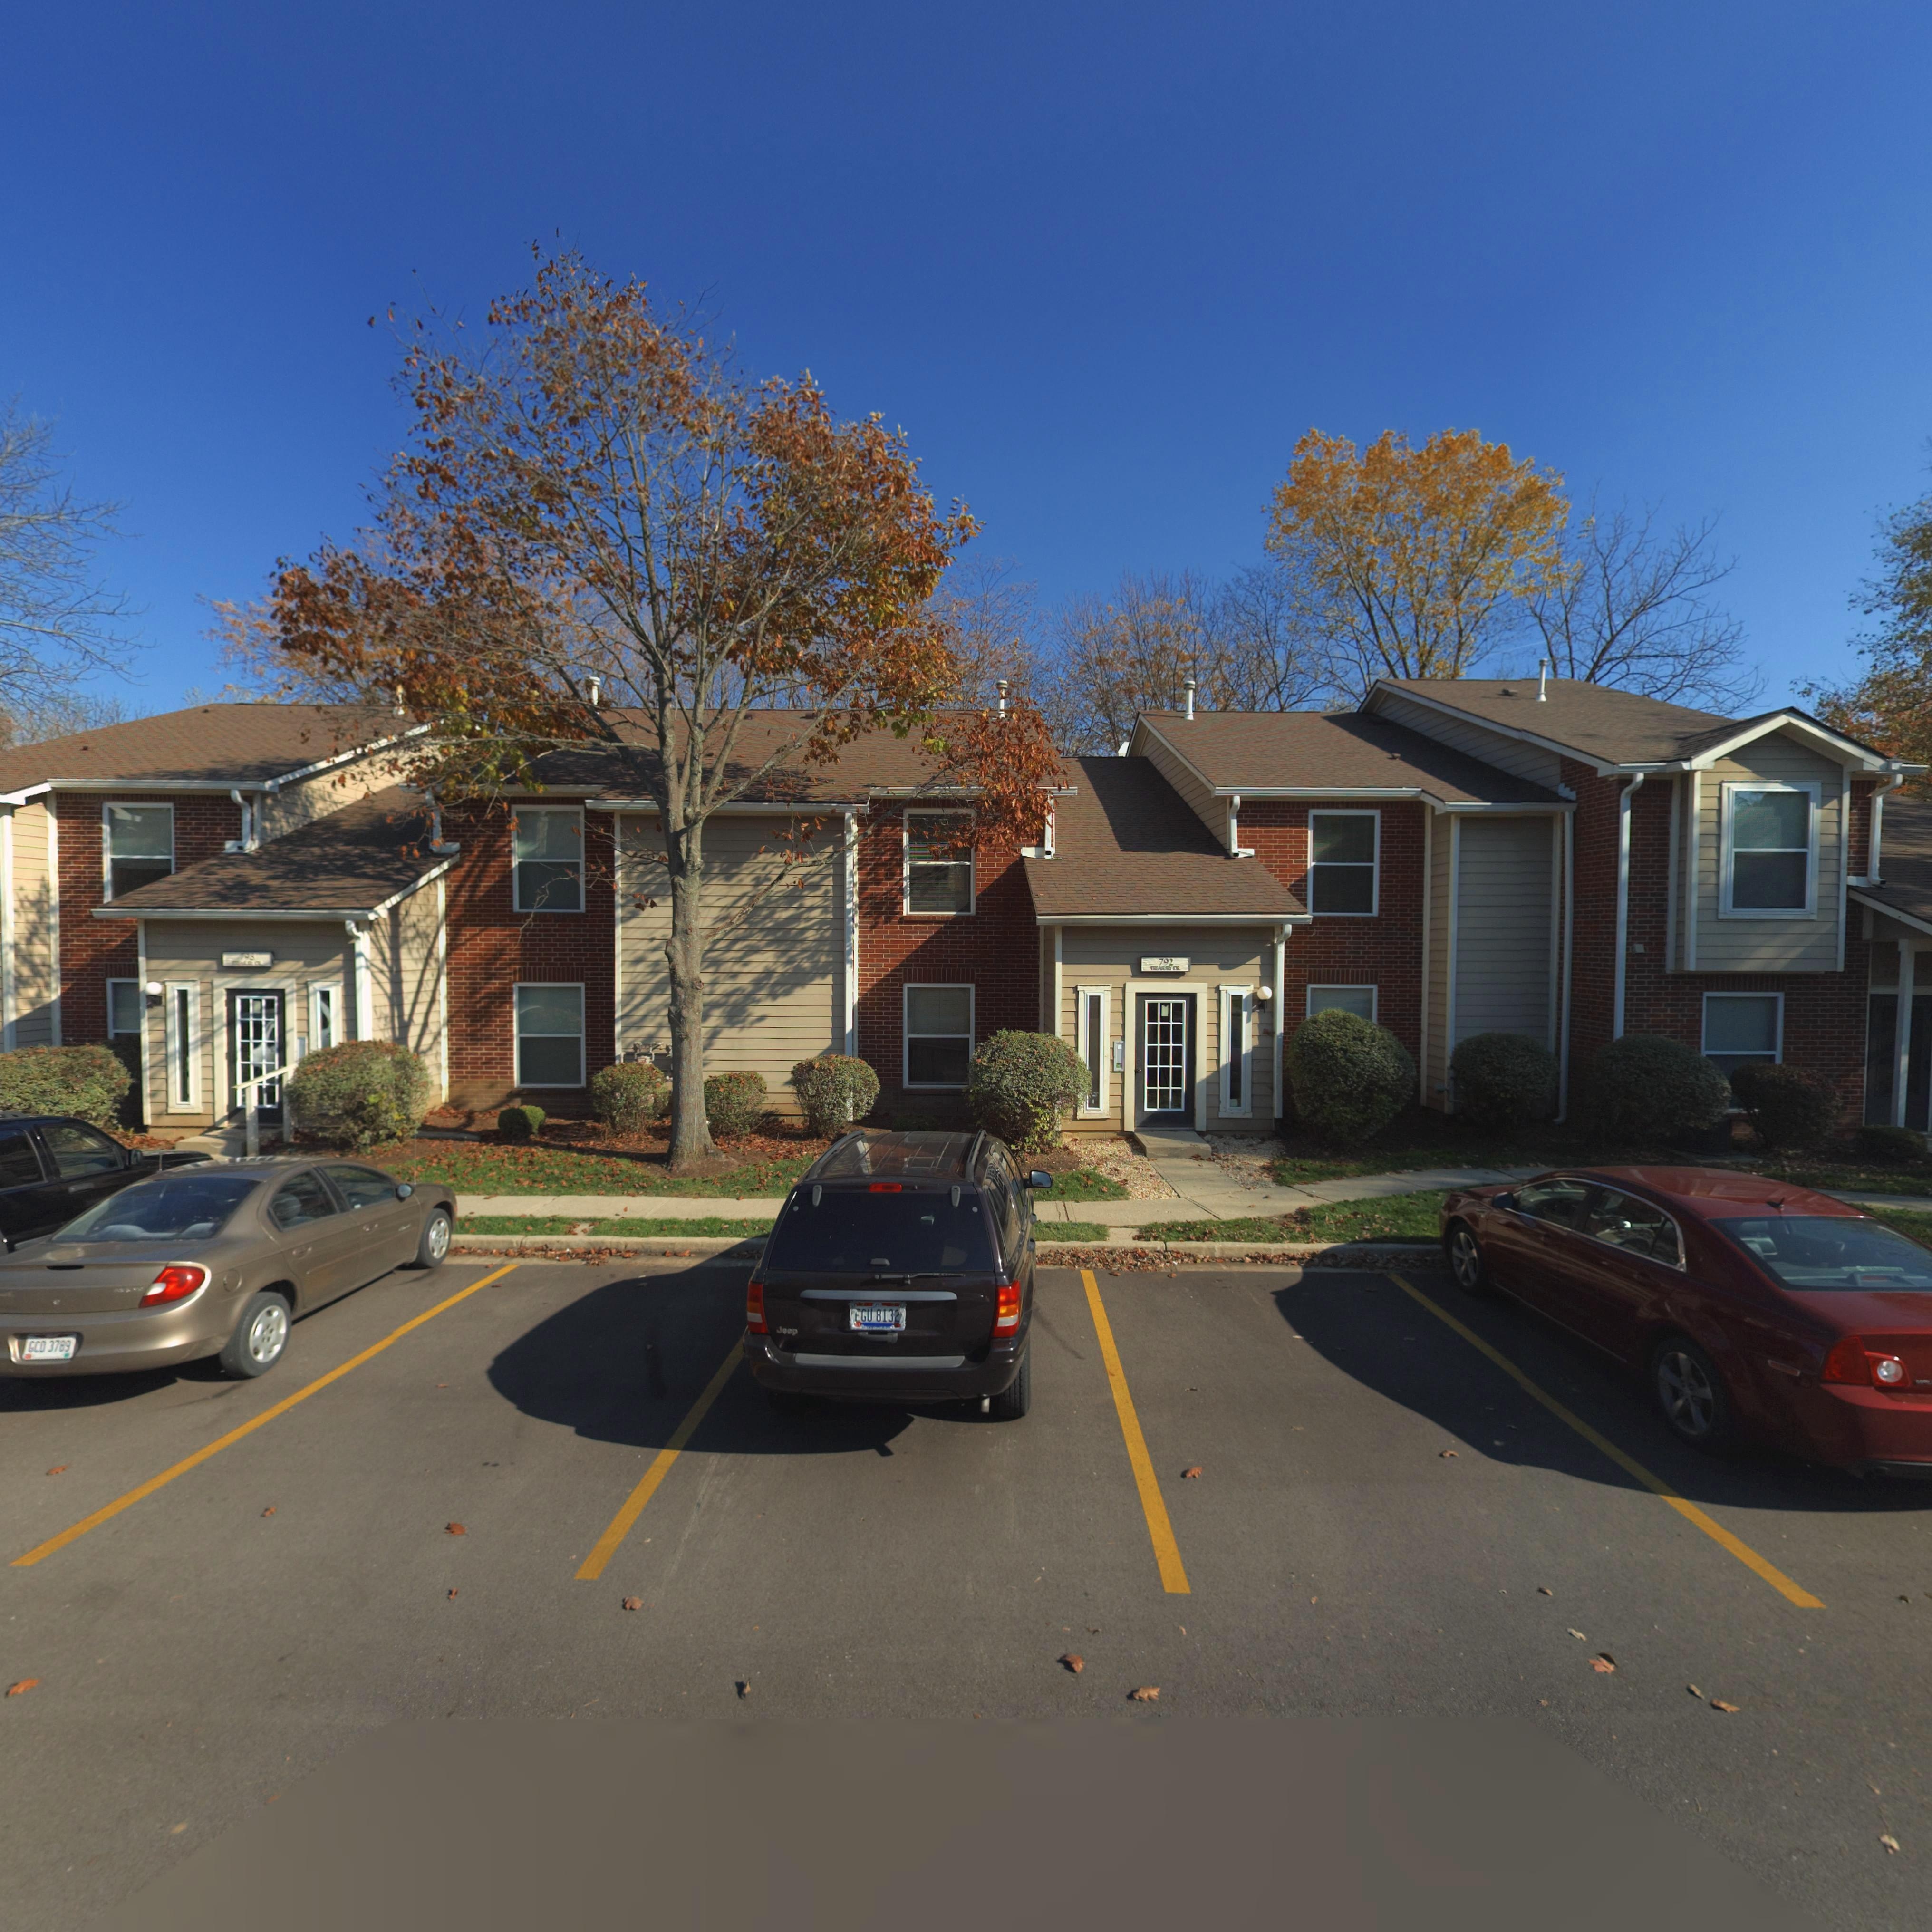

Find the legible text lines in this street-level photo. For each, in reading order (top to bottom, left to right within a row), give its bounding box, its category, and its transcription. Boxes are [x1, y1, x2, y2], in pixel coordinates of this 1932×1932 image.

[239, 952, 255, 961] StreetNumber: 793
[1158, 958, 1174, 966] StreetNumber: 792
[1150, 966, 1181, 971] StreetName: TR*ASURY *R
[854, 1308, 900, 1323] None: *GU*8132
[775, 1326, 799, 1337] None: Jeep
[27, 1340, 72, 1353] None: GCD*3789